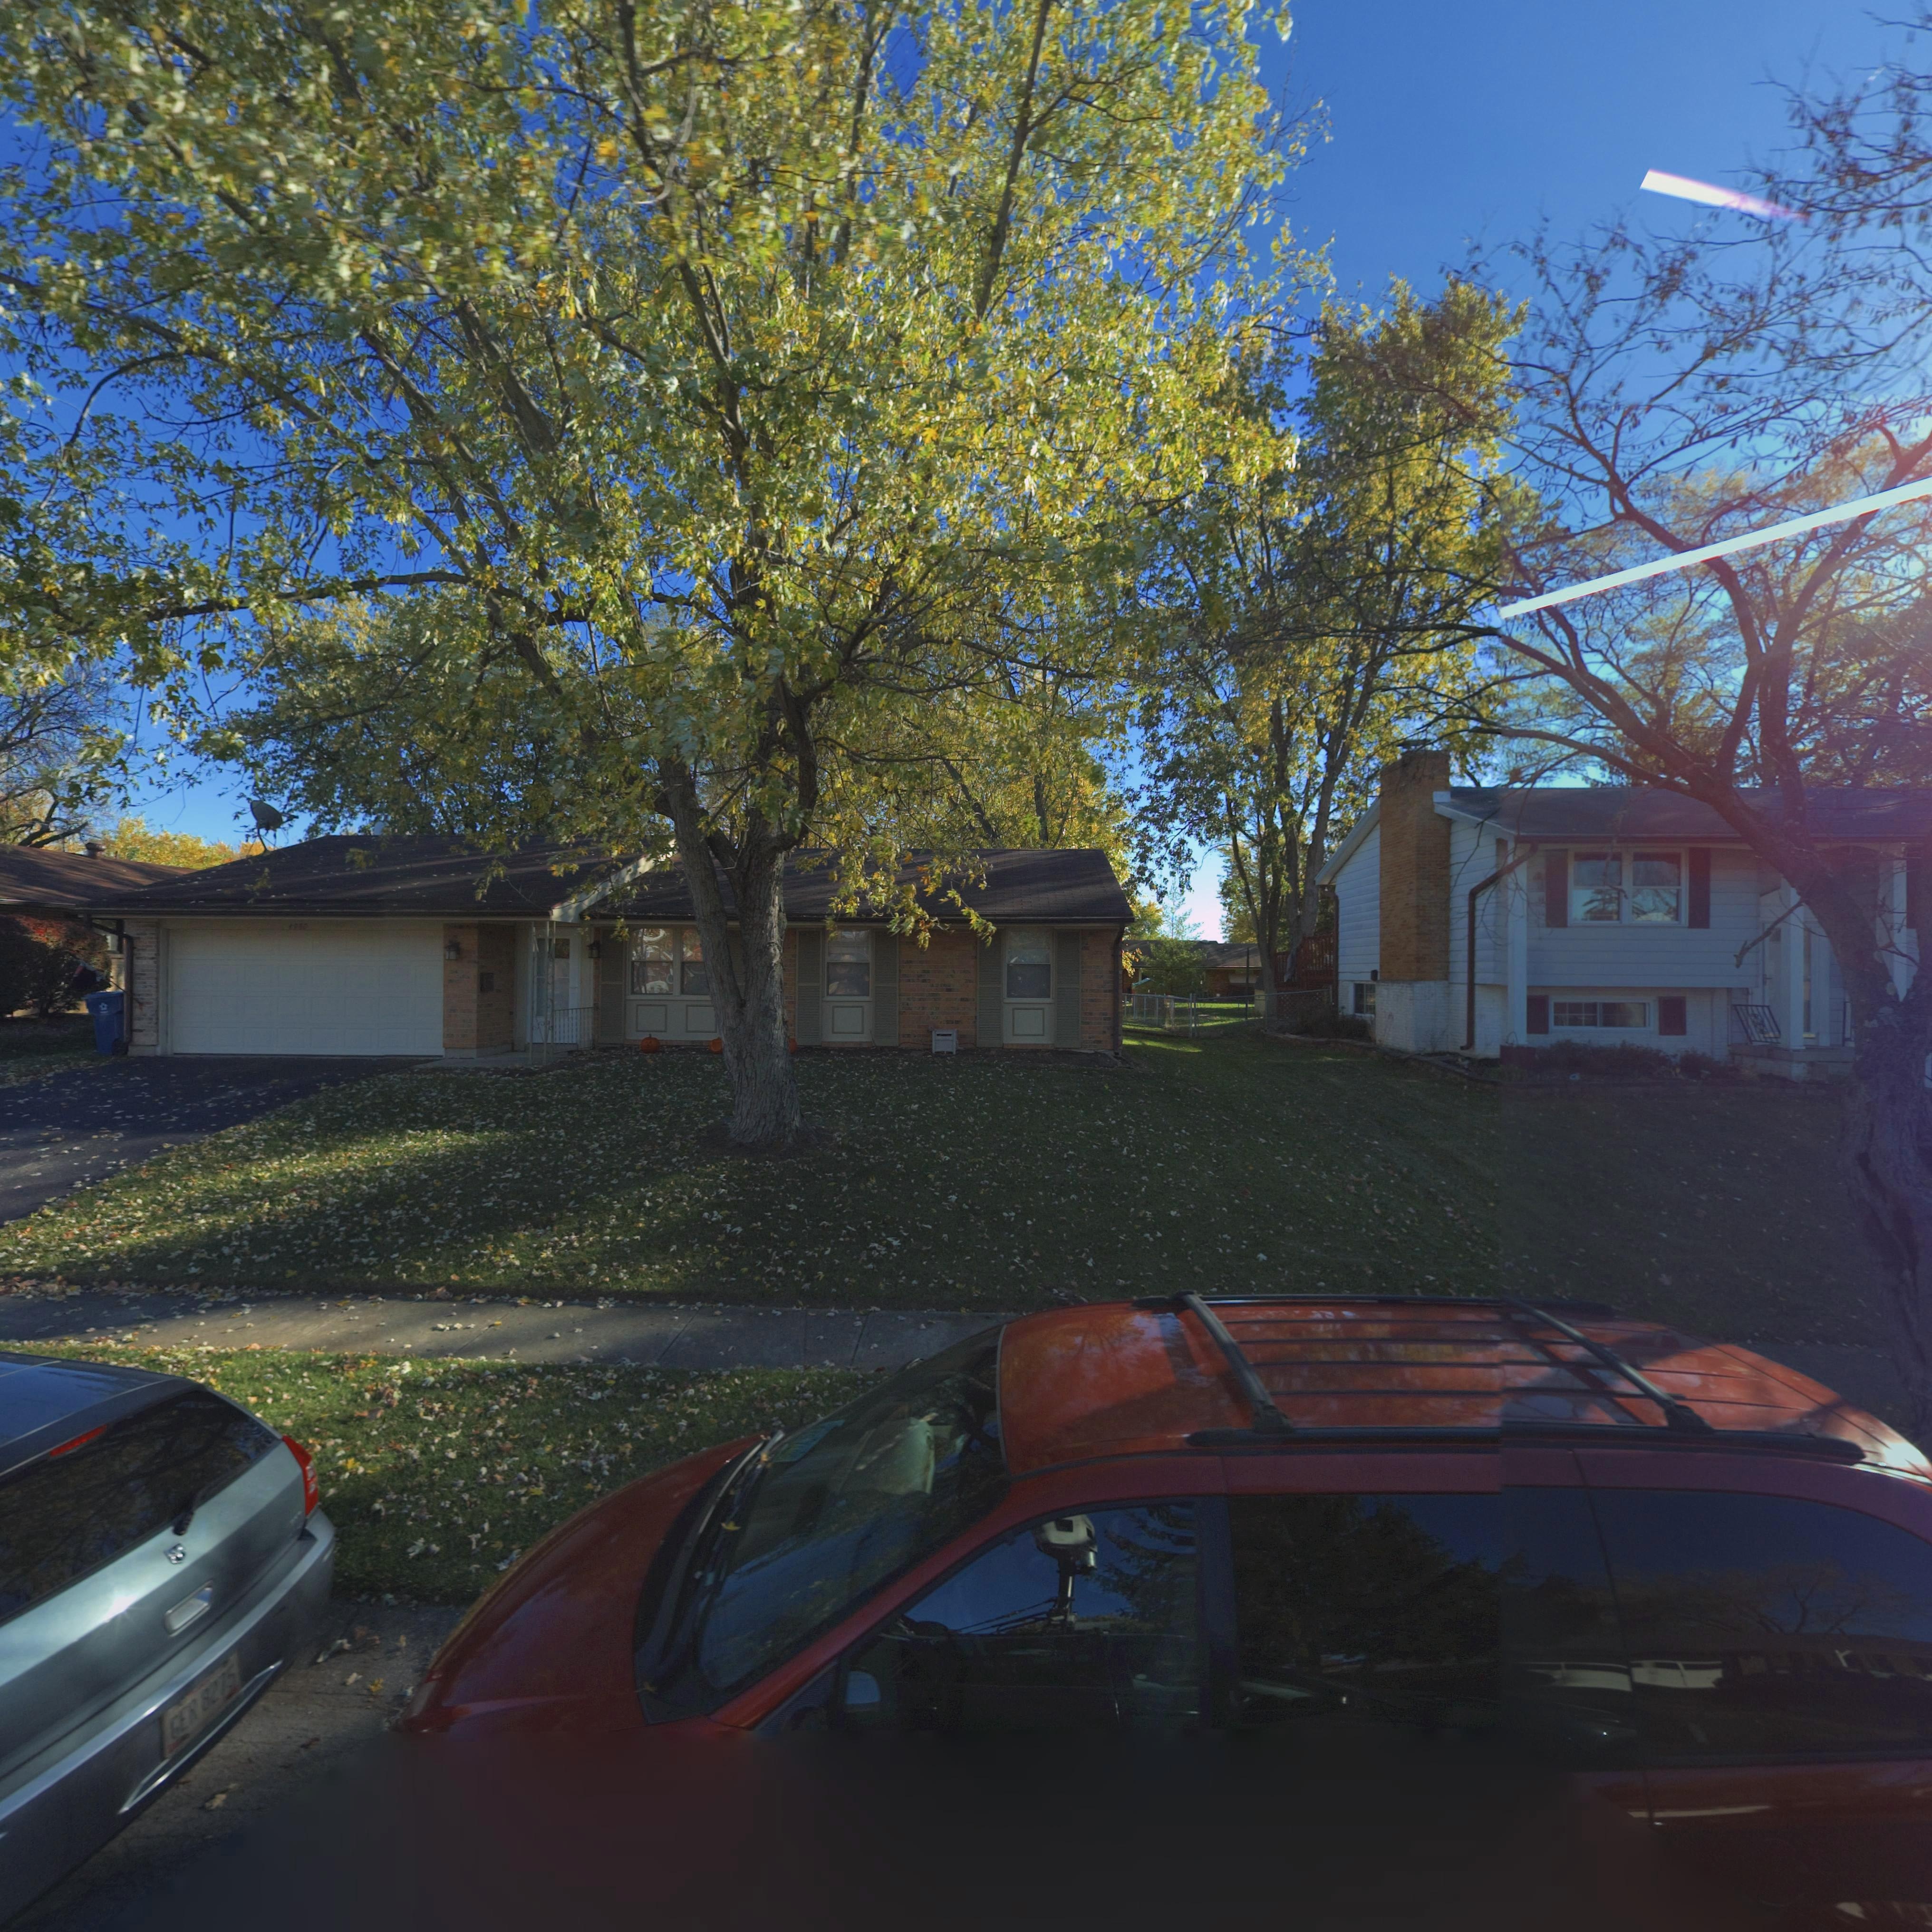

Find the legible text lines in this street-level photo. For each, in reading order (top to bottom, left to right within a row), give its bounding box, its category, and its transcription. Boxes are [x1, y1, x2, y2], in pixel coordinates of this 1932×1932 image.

[288, 922, 309, 931] StreetNumber: 4980